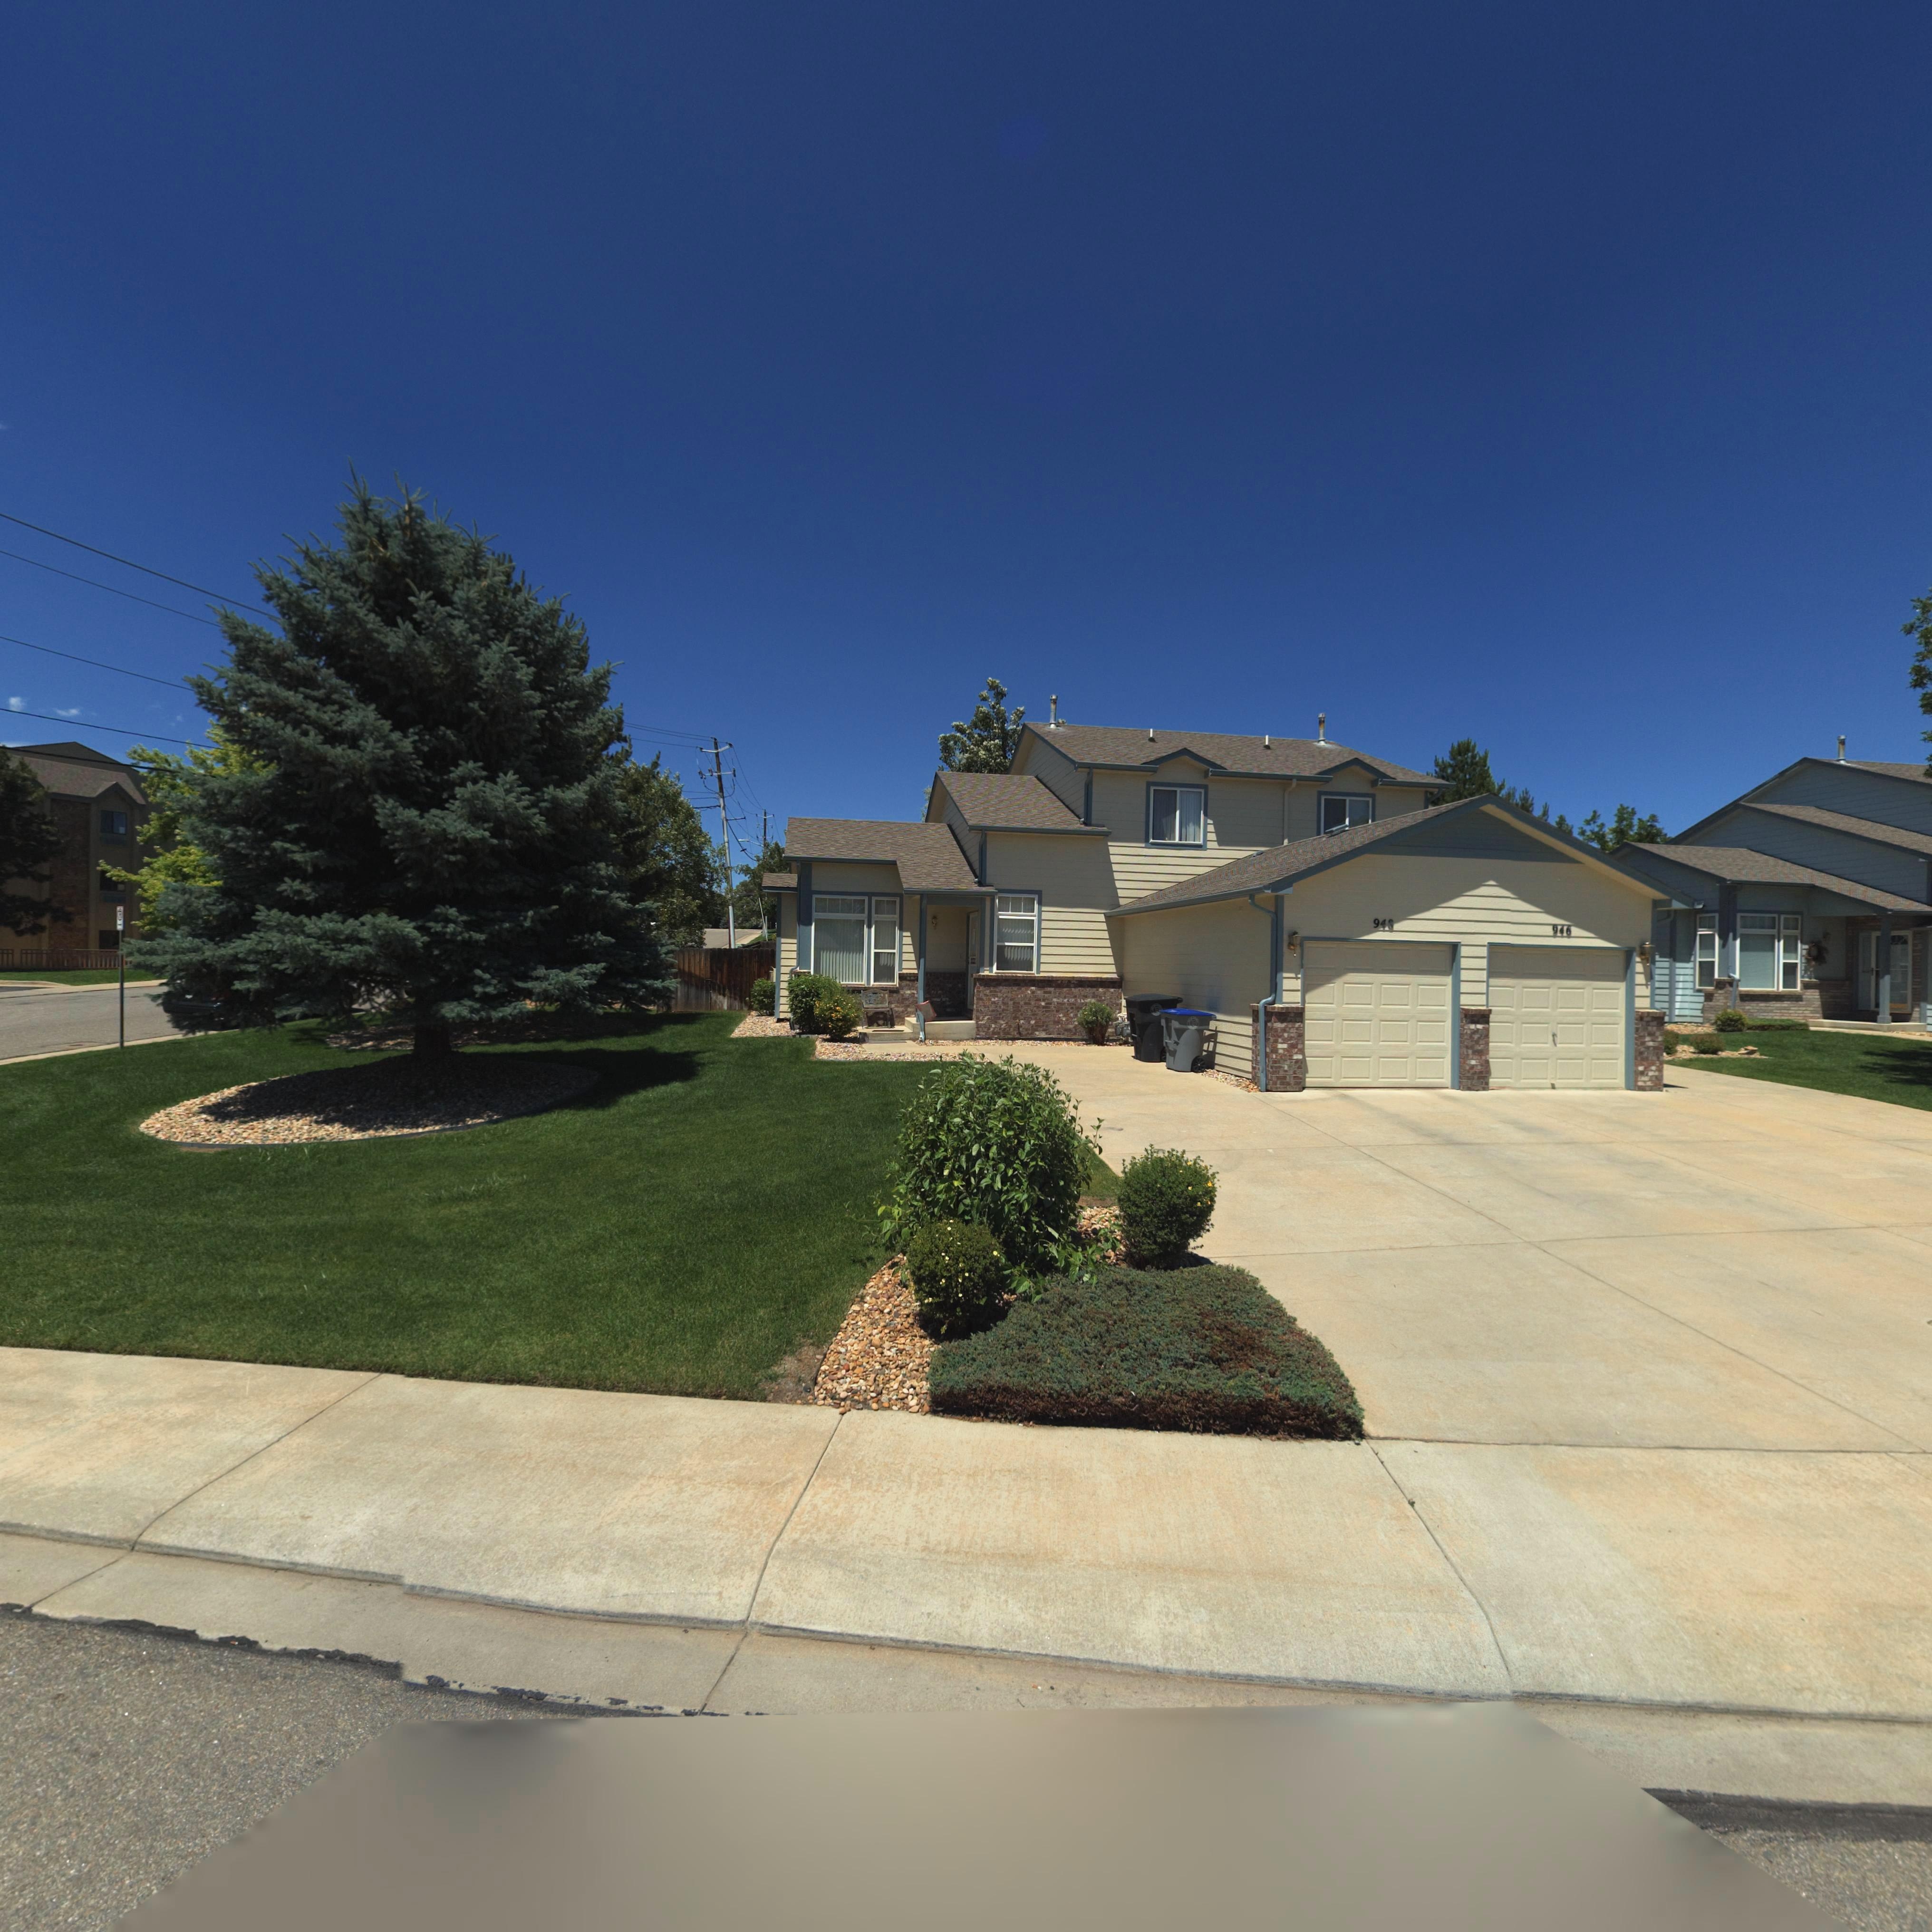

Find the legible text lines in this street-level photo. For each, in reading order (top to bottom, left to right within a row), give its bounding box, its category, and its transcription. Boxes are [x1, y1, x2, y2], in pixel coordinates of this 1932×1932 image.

[1372, 918, 1394, 929] StreetNumber: 948
[1552, 924, 1572, 935] StreetNumber: 946